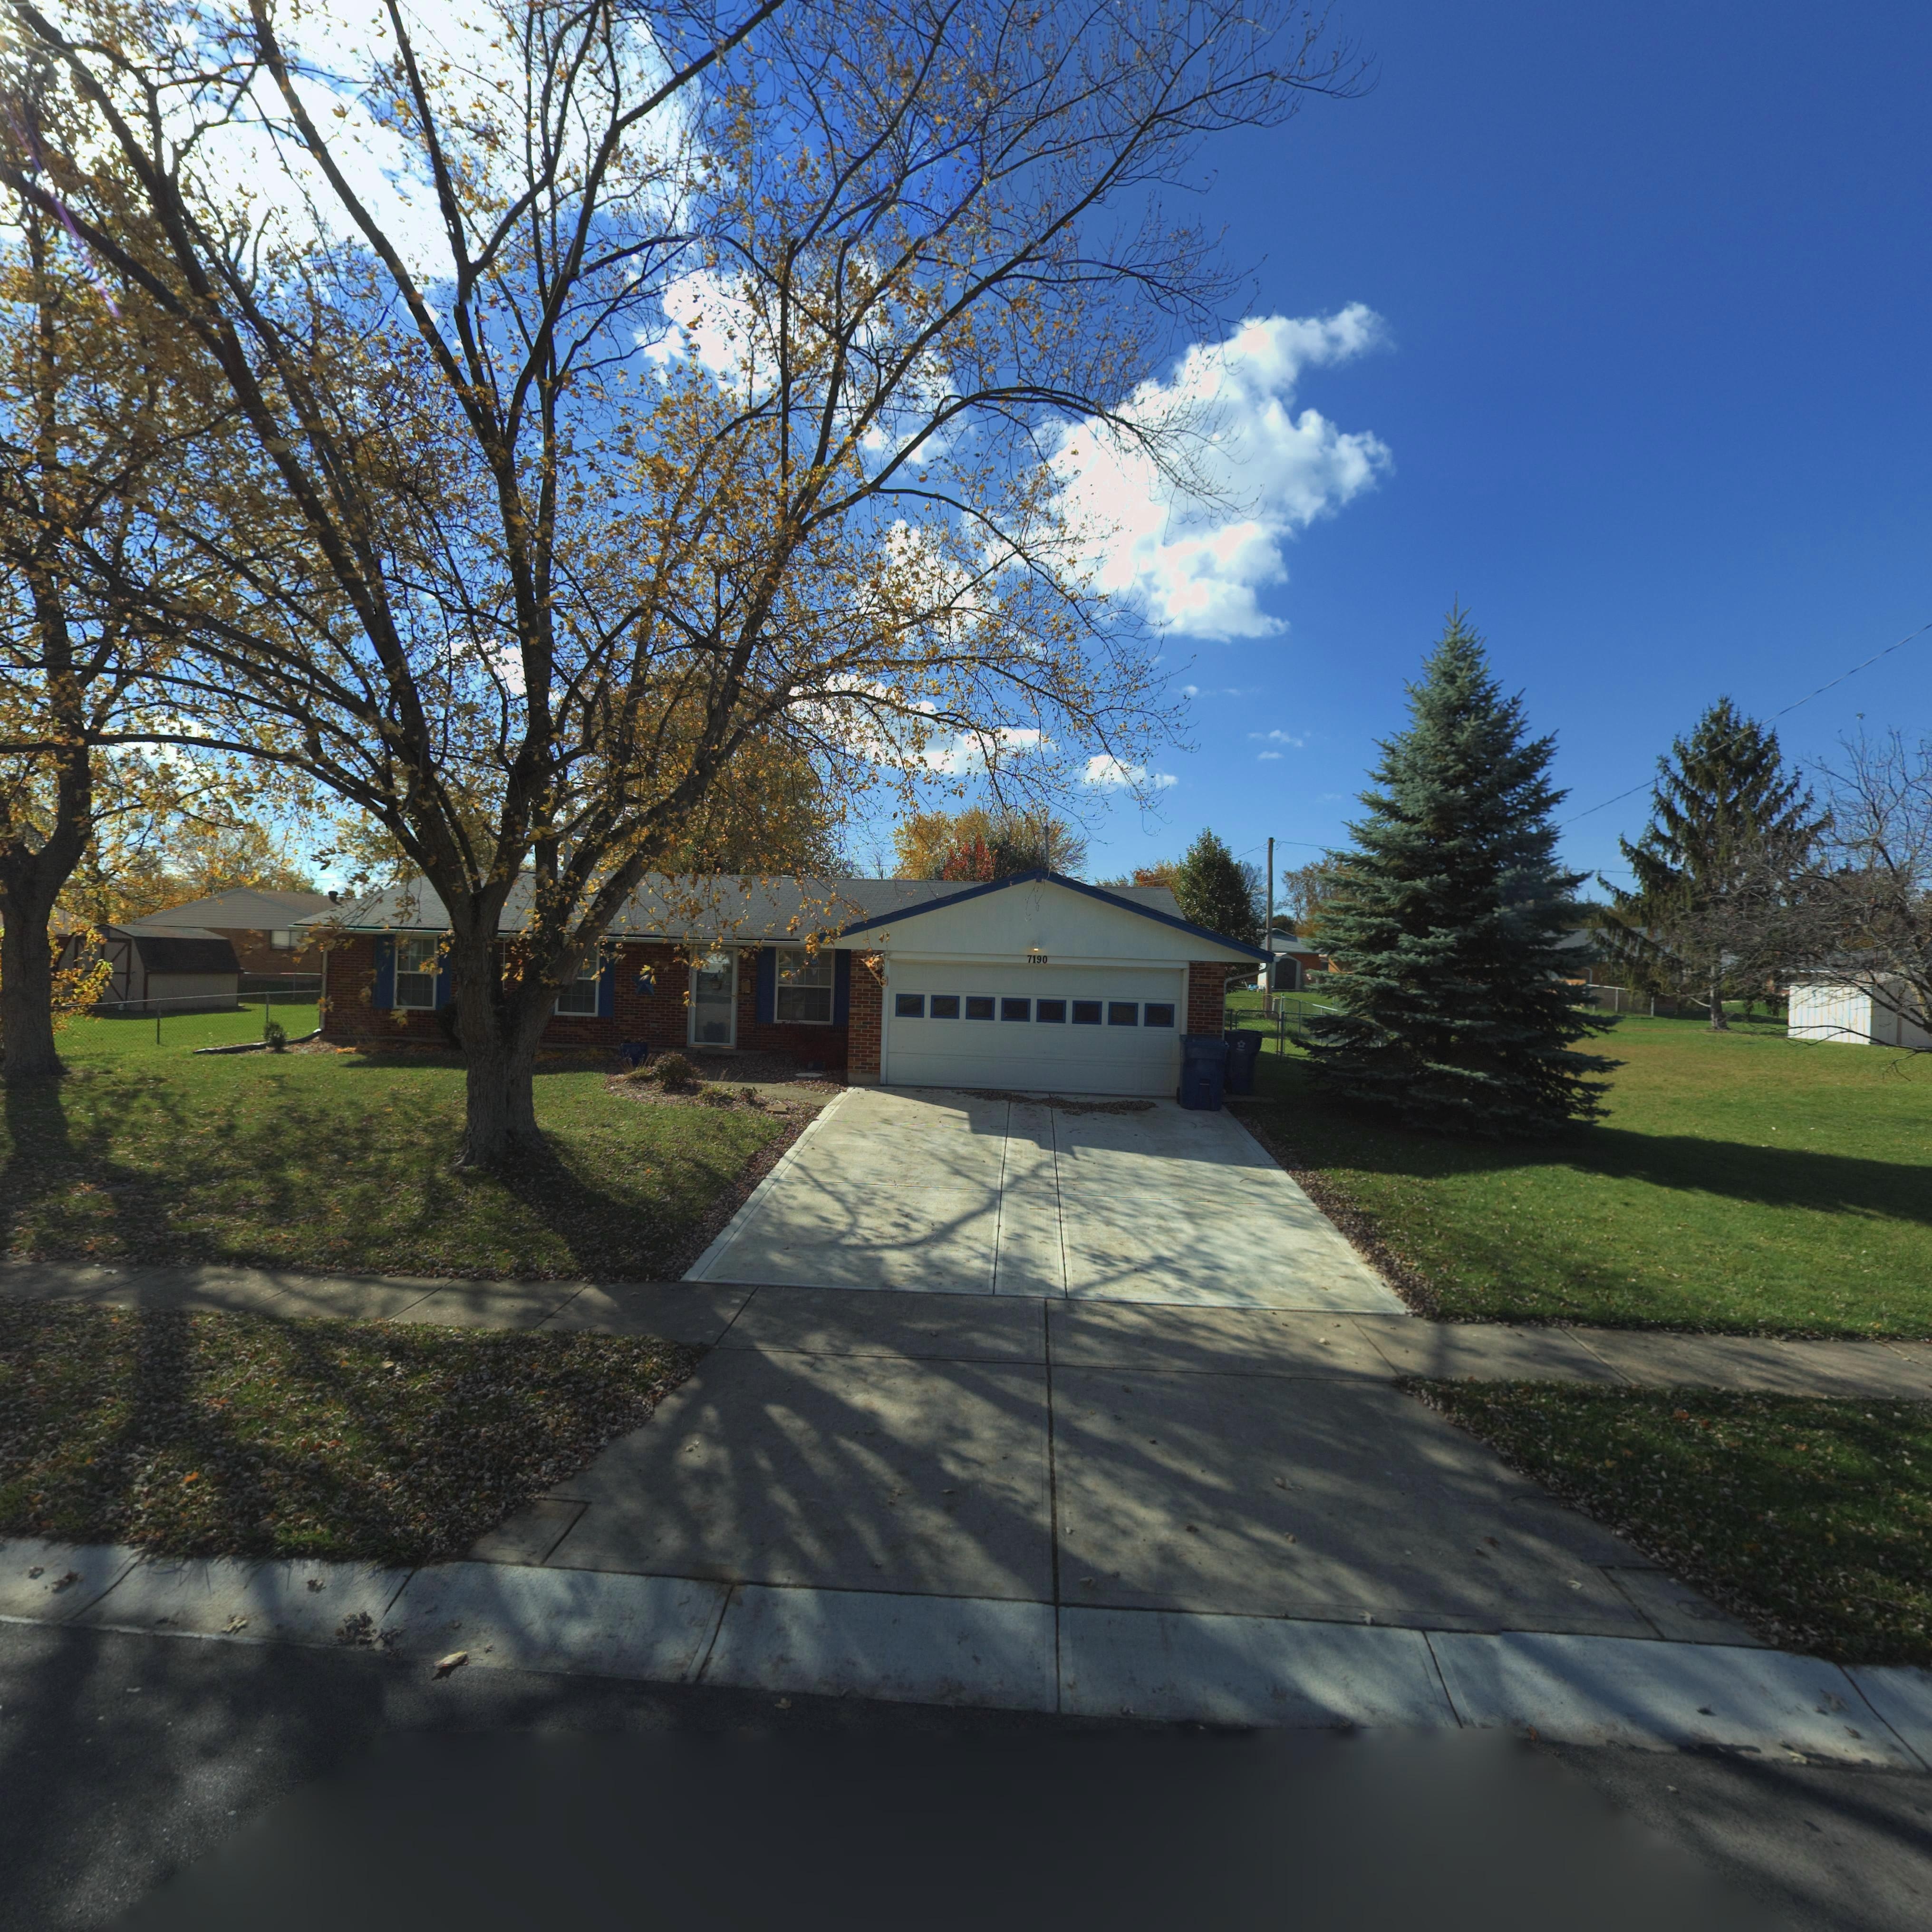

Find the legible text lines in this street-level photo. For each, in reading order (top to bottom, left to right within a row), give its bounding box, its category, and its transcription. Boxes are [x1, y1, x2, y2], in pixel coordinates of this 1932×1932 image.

[1026, 954, 1049, 965] StreetNumber: 7190